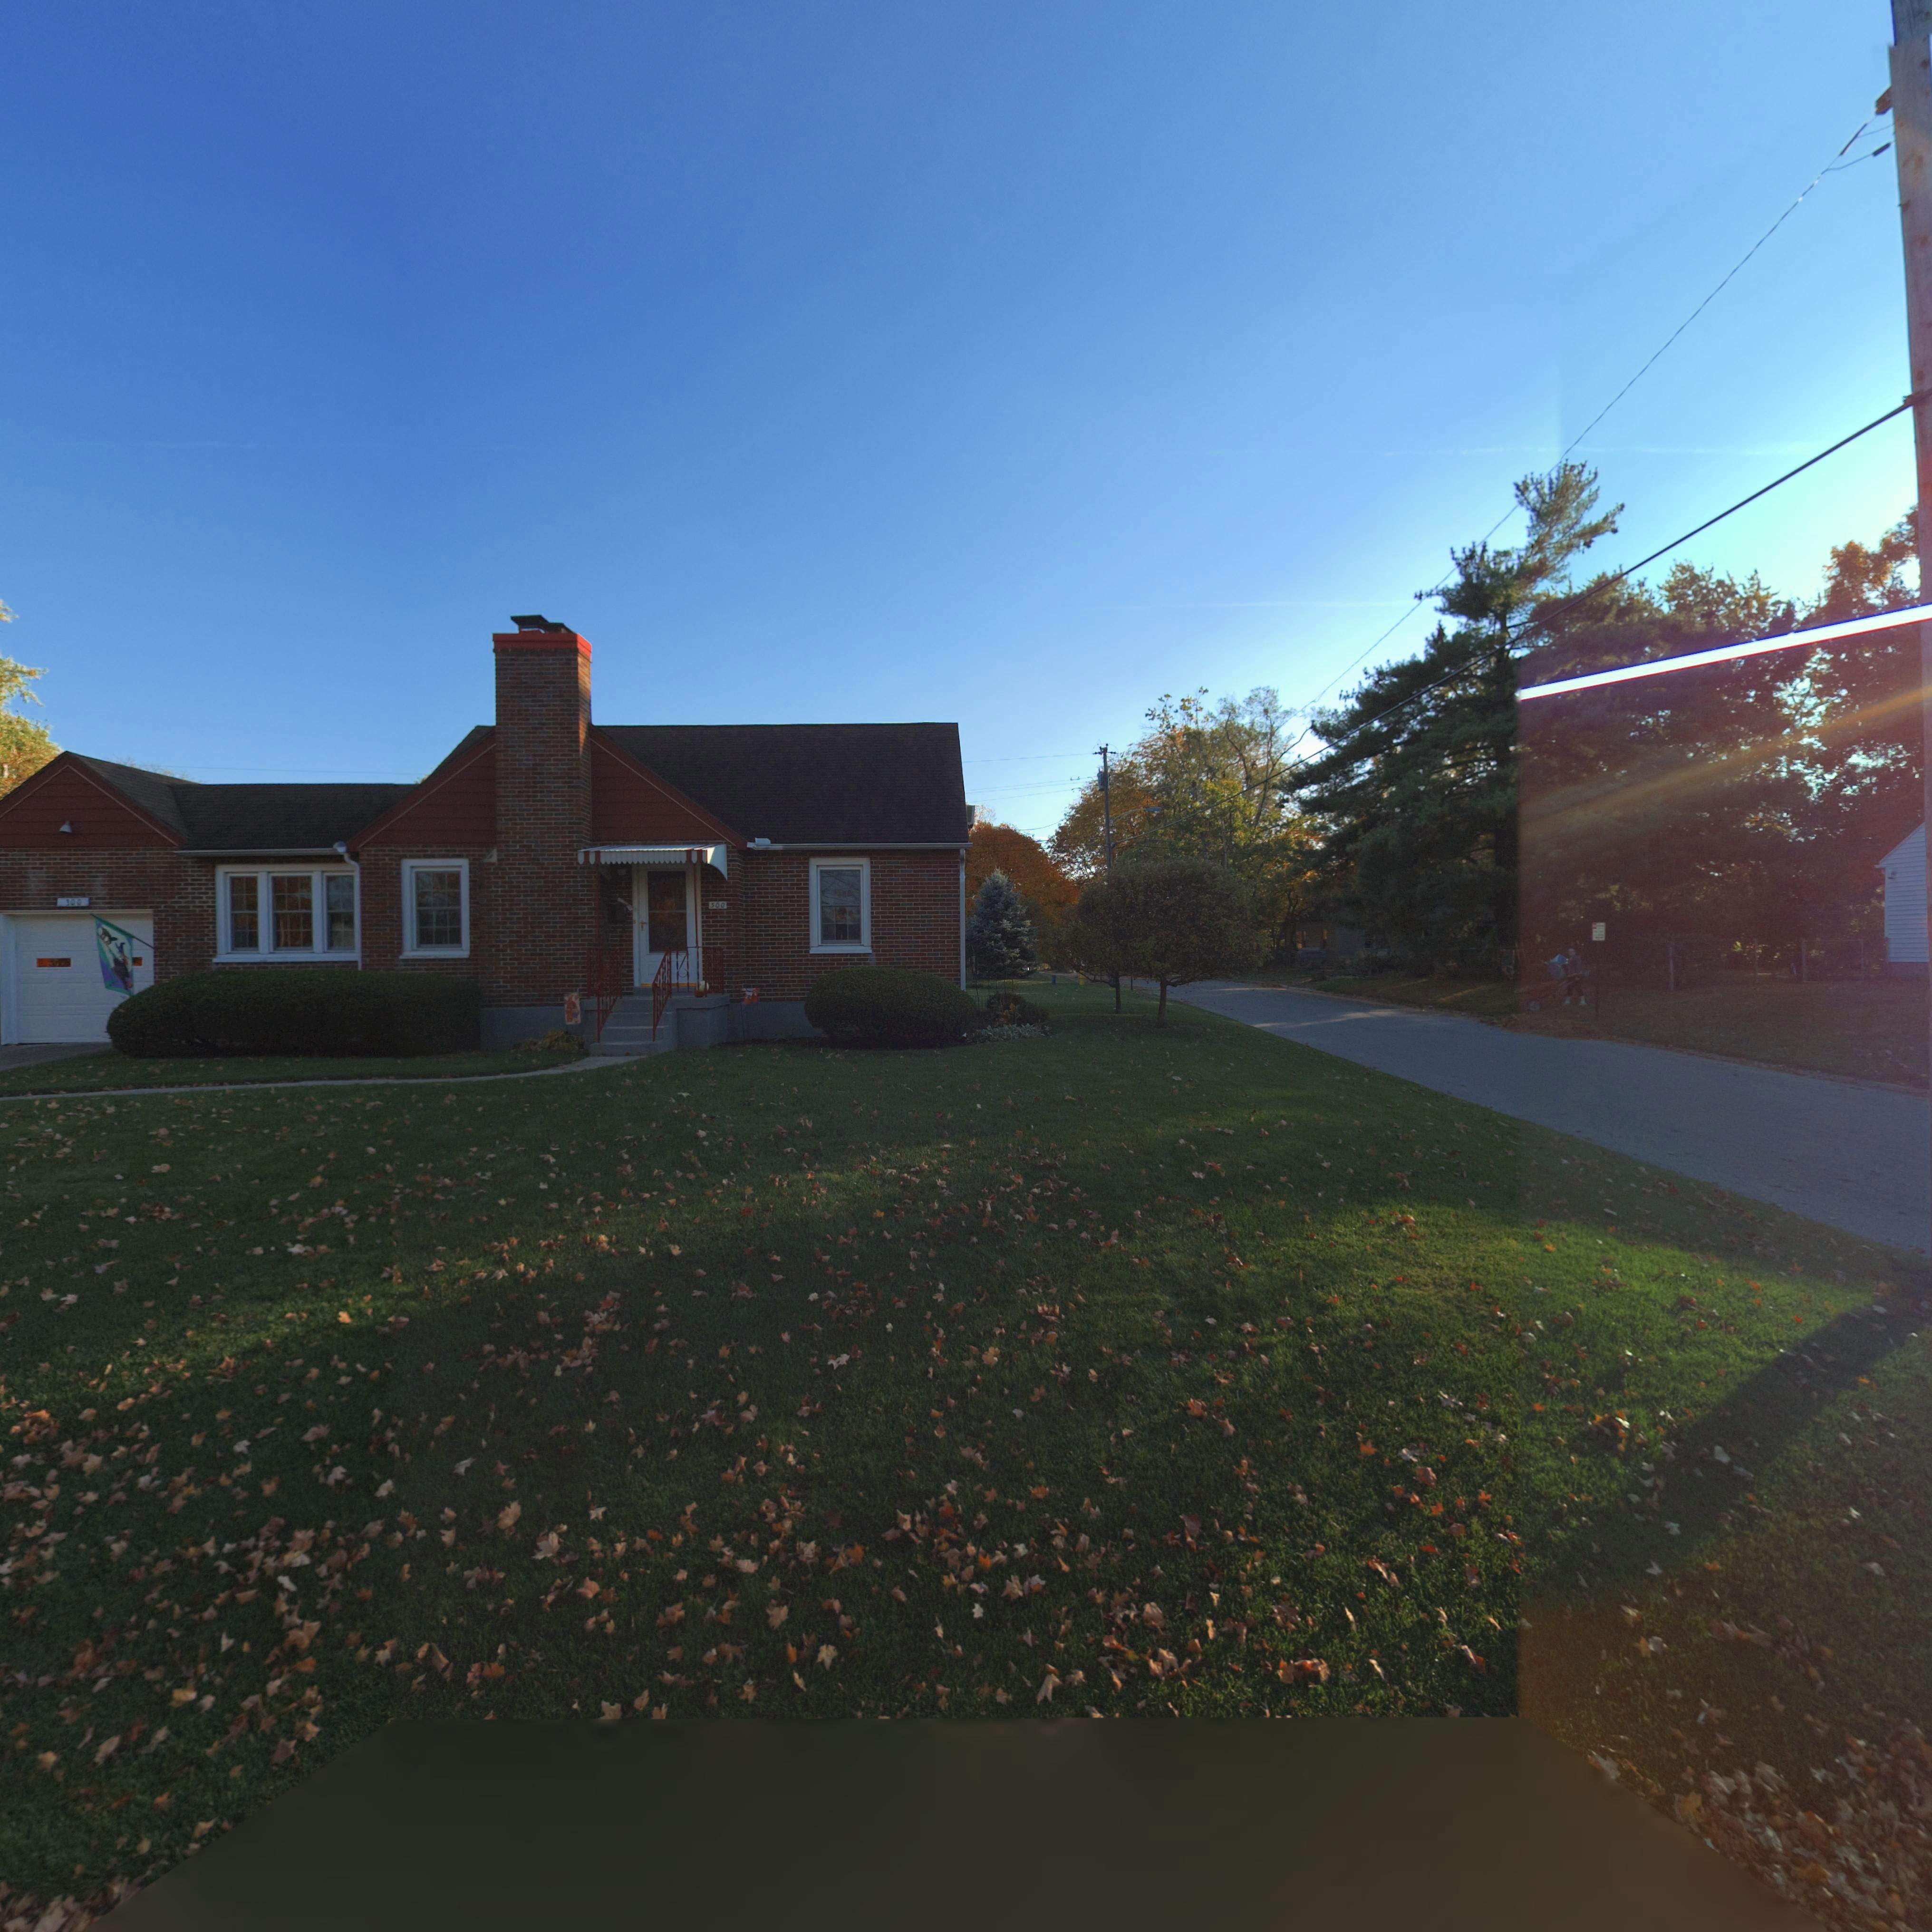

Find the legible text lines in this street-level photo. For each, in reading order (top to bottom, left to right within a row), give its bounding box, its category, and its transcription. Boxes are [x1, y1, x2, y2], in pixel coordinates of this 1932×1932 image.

[65, 898, 82, 906] StreetNumber: 300
[709, 902, 725, 908] StreetNumber: 300